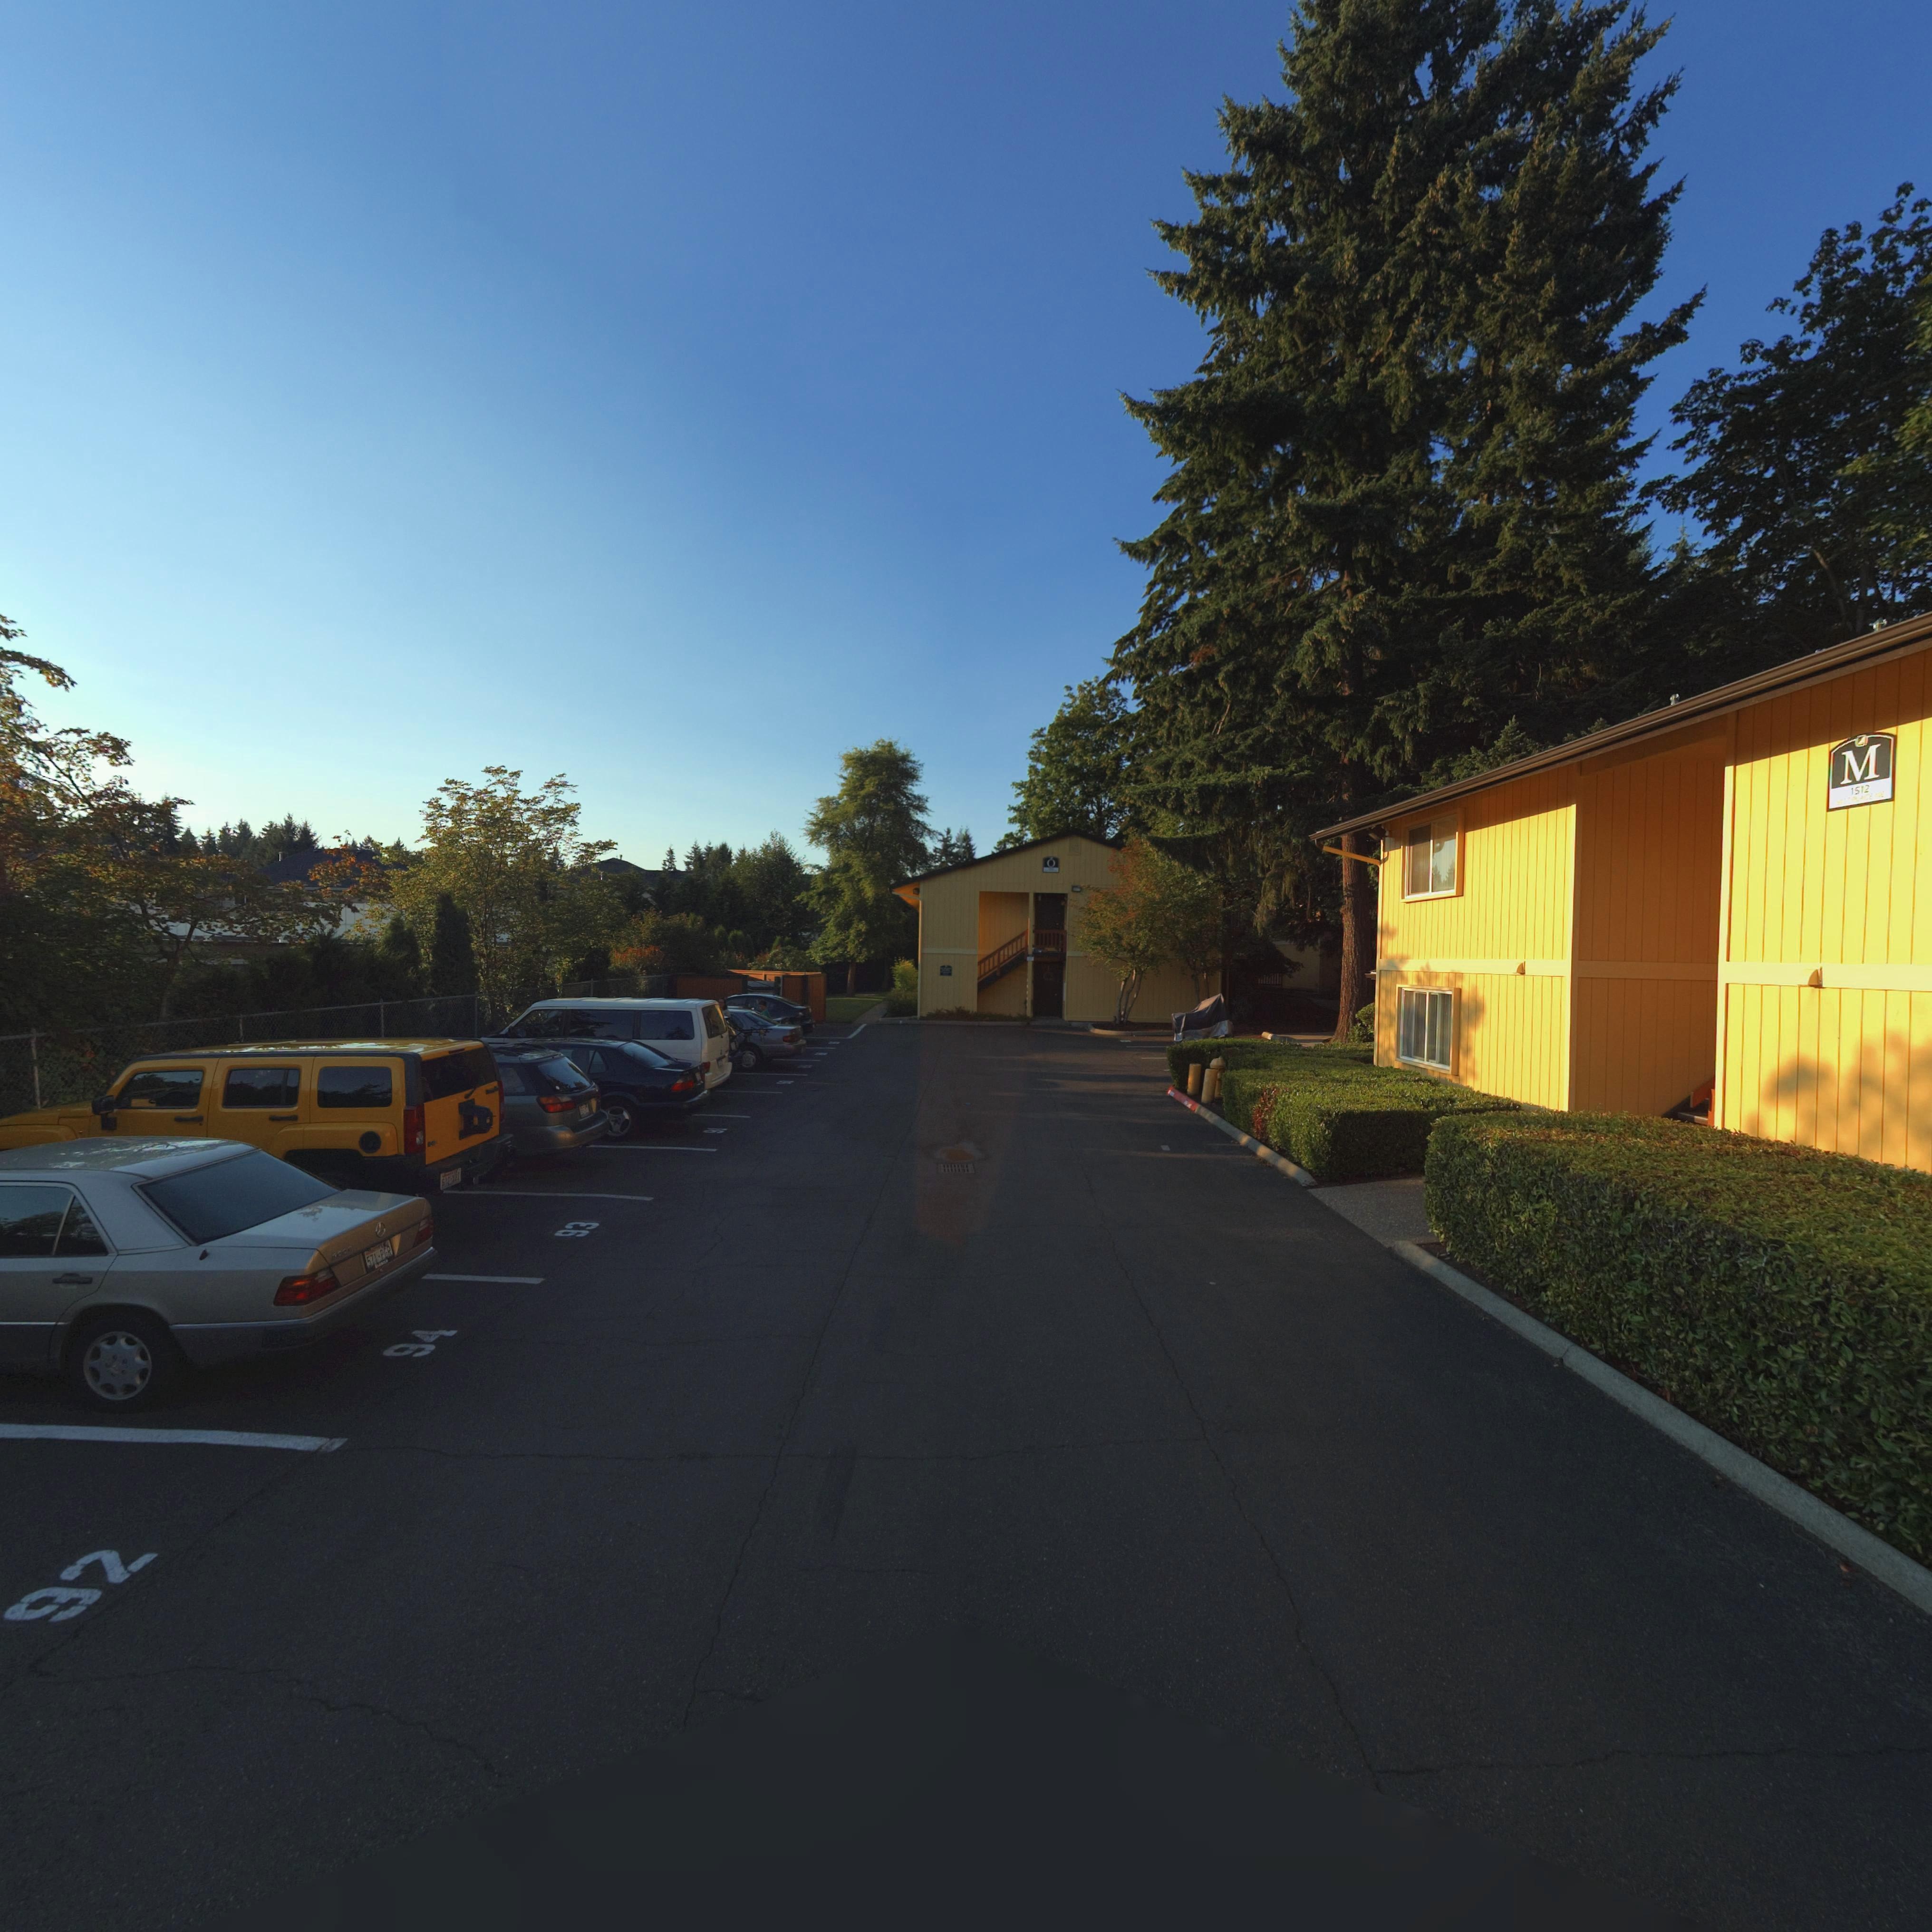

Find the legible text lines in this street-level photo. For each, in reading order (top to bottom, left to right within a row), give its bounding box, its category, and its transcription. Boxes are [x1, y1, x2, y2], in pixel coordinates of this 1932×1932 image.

[1850, 783, 1870, 796] StreetNumber: 1512